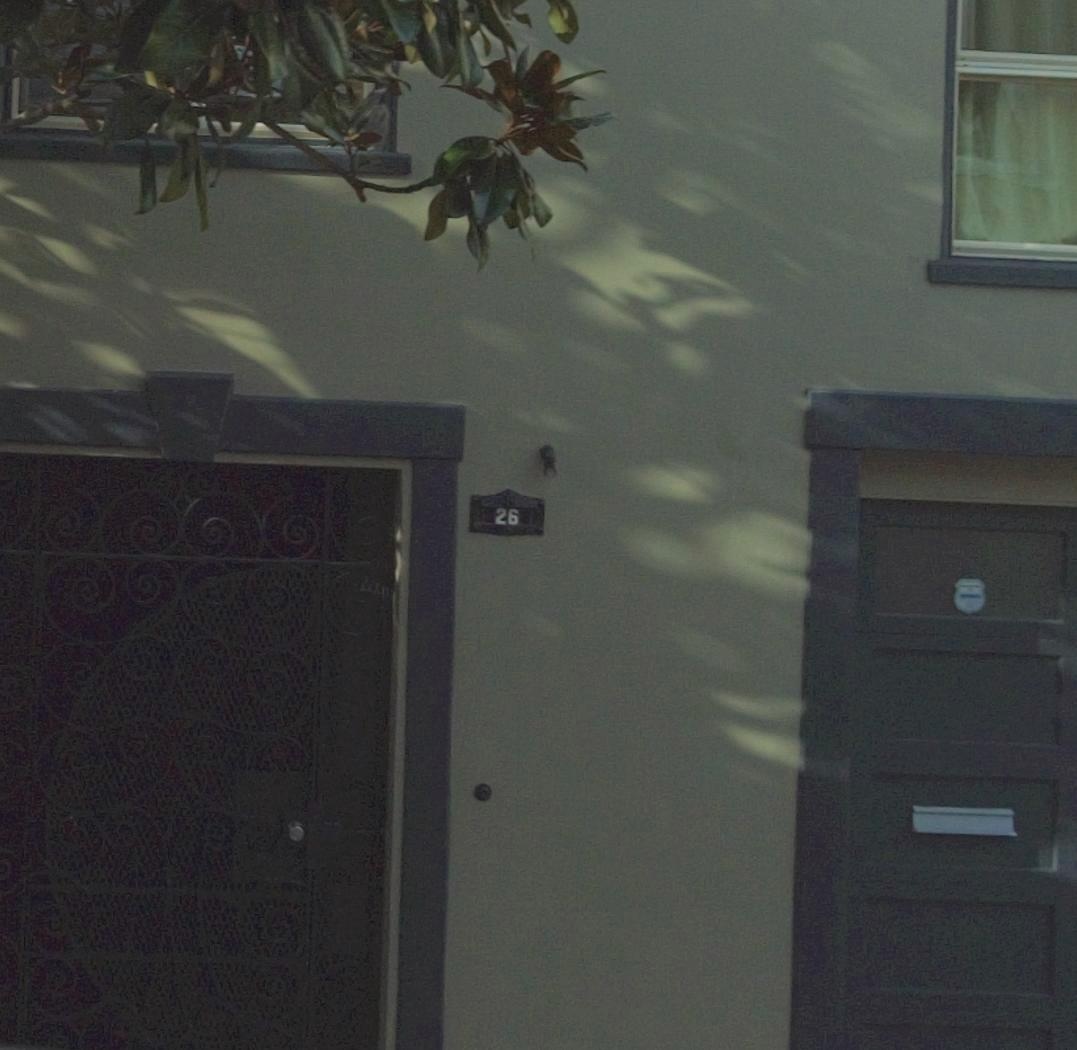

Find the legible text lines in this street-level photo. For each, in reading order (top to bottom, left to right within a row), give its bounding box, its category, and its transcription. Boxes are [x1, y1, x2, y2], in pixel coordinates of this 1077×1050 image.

[492, 505, 521, 528] StreetNumber: 26